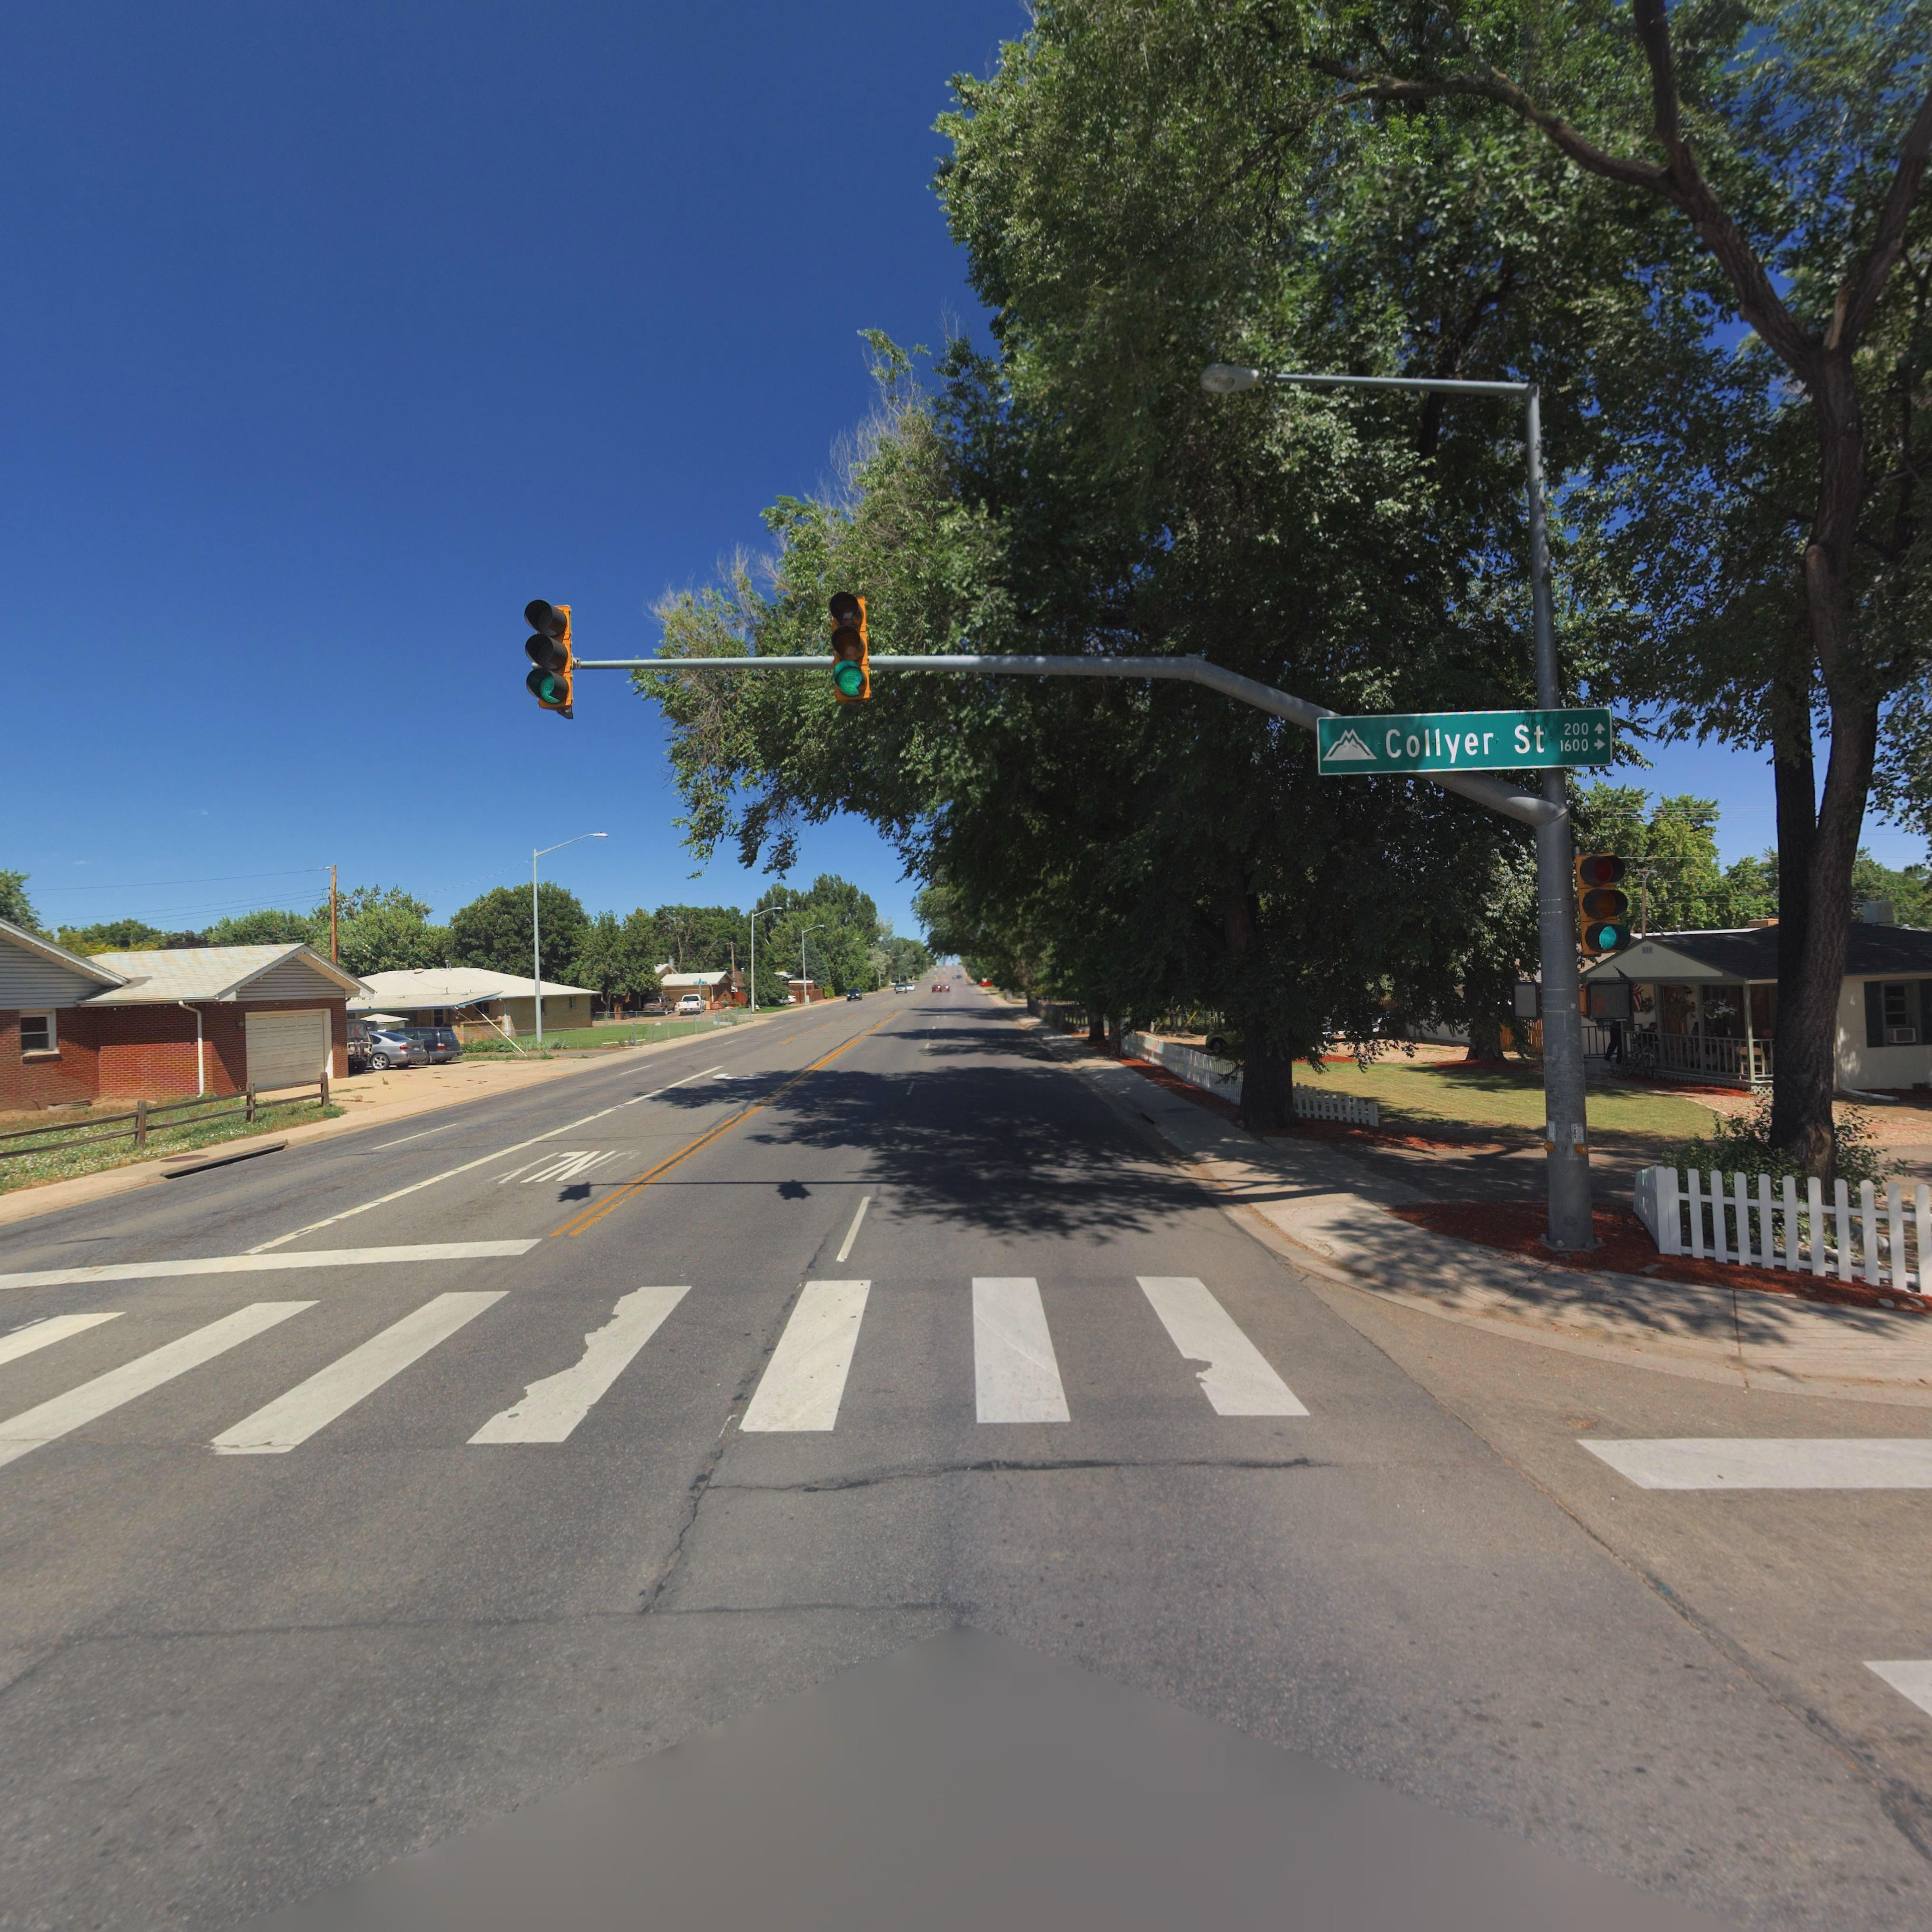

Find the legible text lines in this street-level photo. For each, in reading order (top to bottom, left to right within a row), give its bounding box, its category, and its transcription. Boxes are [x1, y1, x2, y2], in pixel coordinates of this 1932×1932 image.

[1564, 722, 1588, 735] StreetNumberRange: 200
[1384, 723, 1544, 764] StreetName: Collyer St
[1559, 738, 1605, 752] StreetNumberRange: 1600->